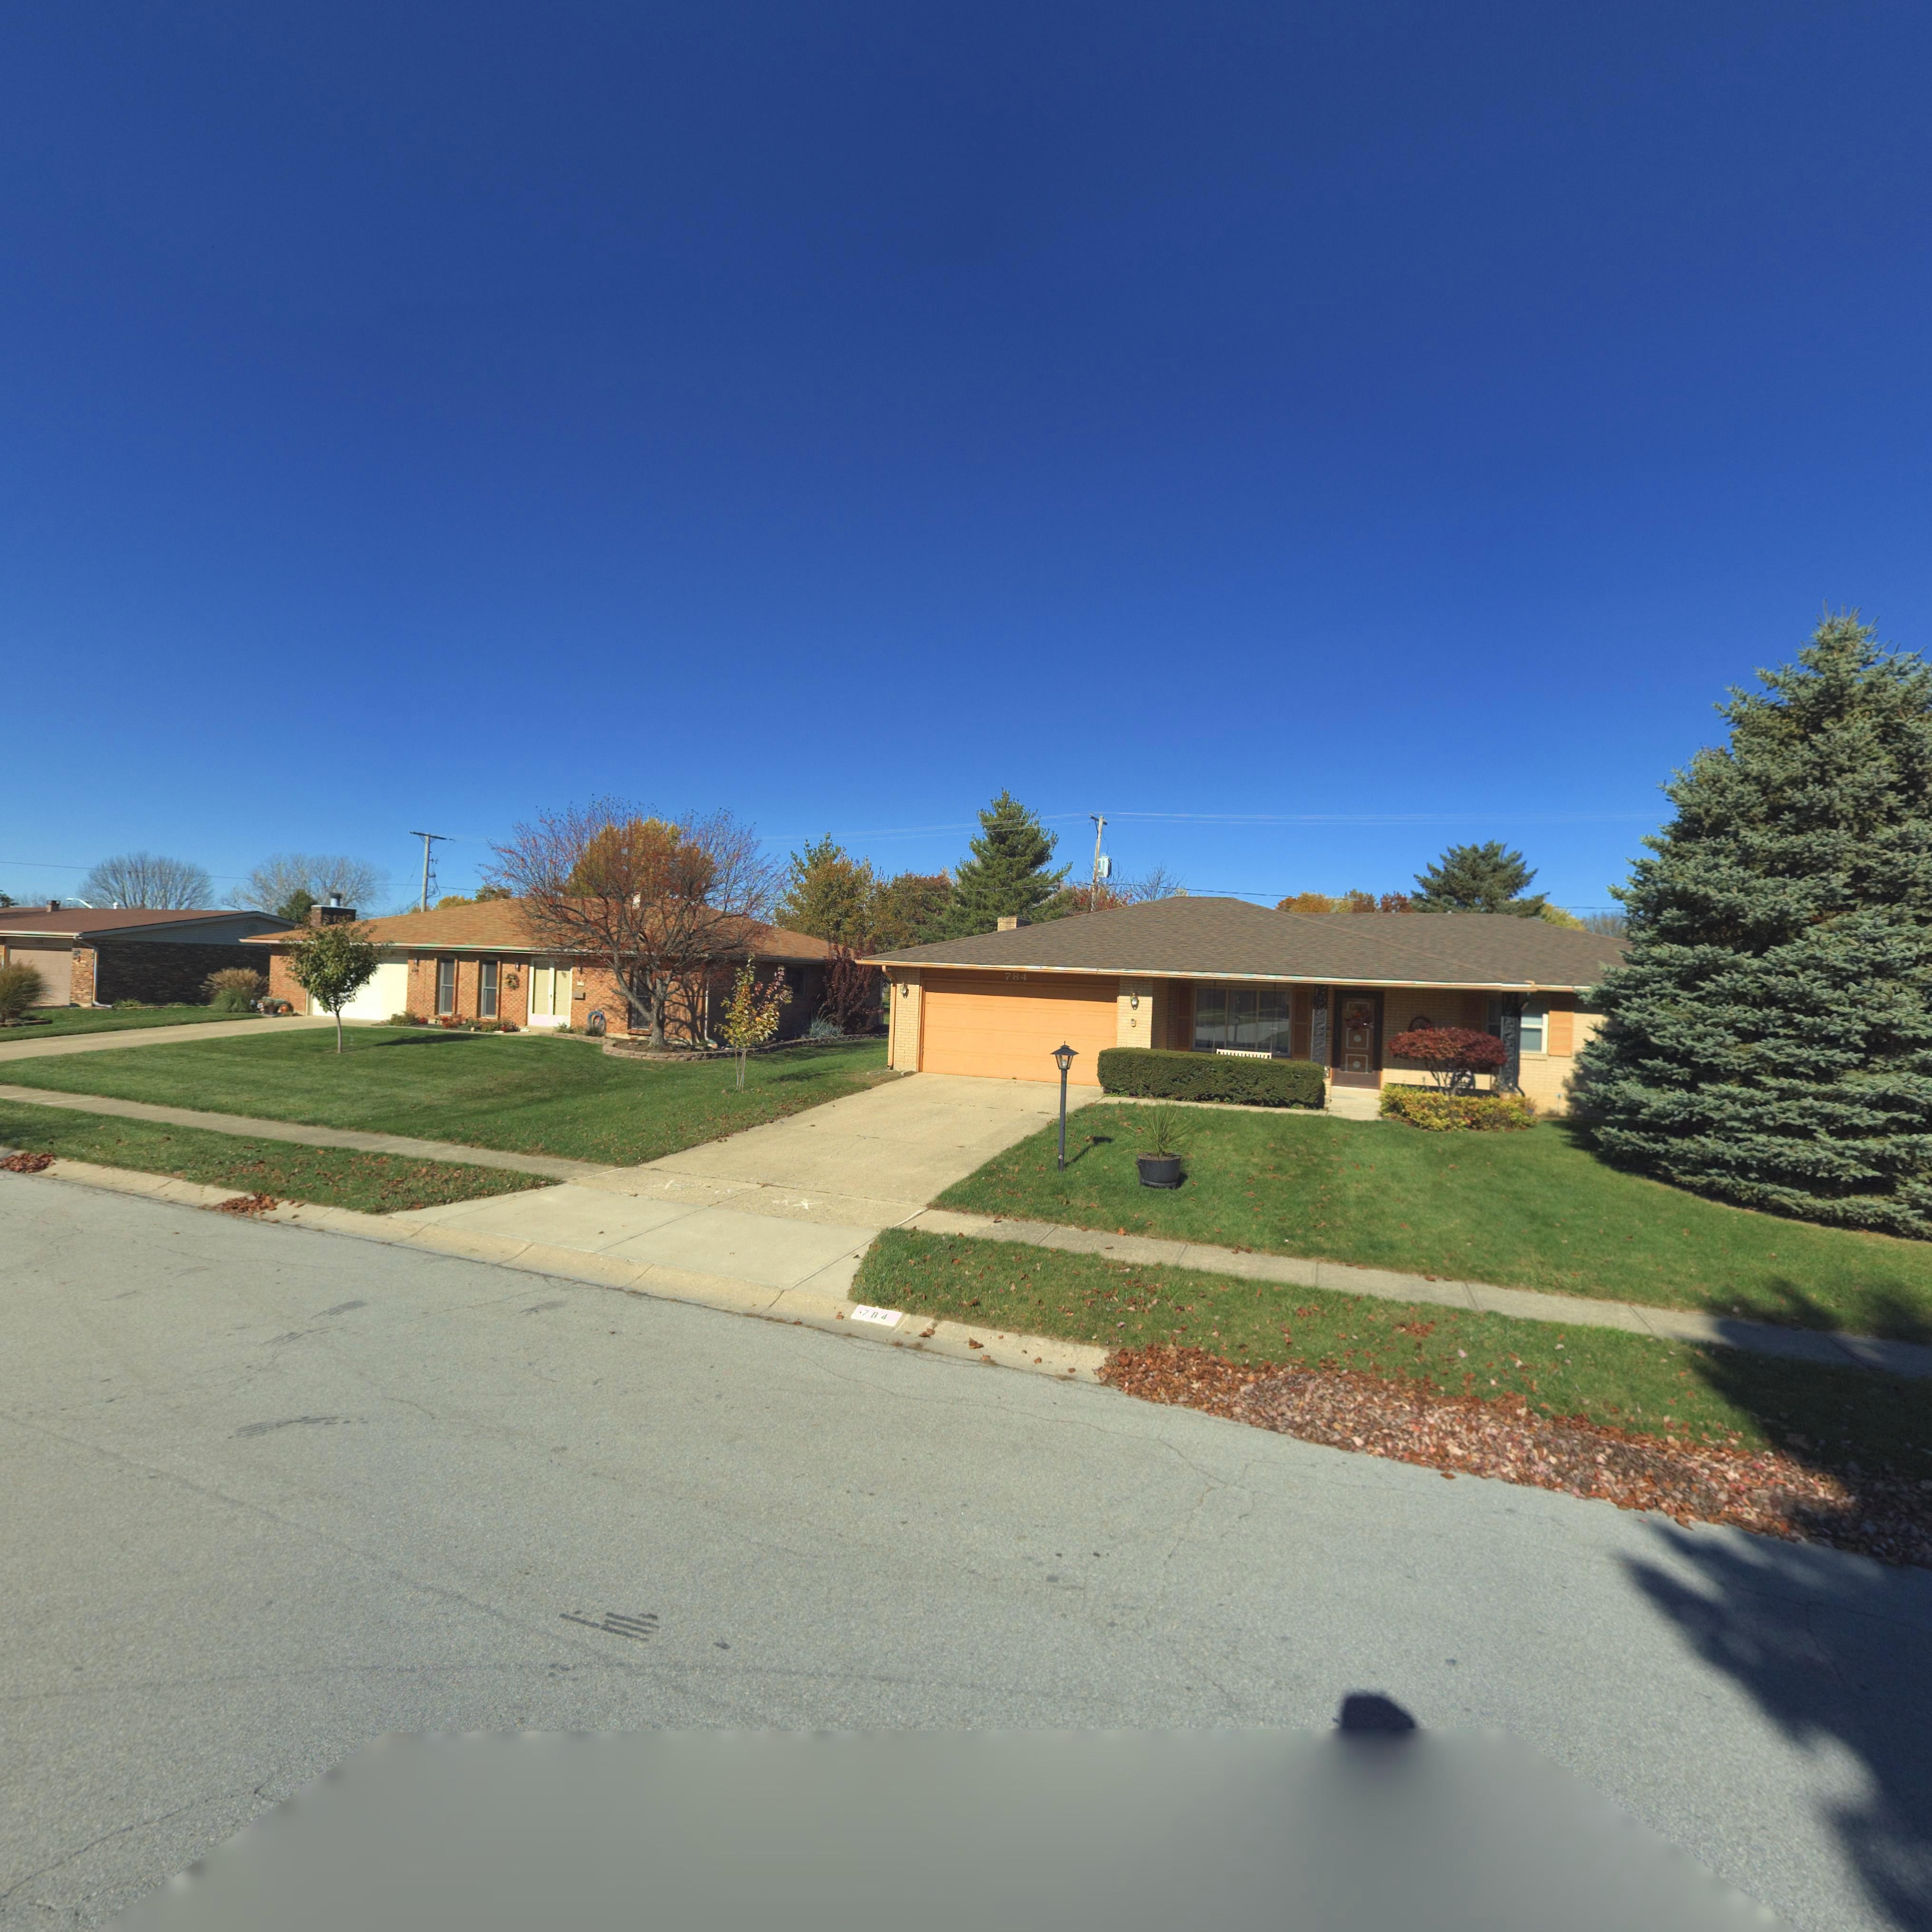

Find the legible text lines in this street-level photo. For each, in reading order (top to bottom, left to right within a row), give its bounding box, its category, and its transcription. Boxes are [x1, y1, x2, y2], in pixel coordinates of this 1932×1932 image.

[34, 939, 44, 945] StreetNumber: 7**
[1004, 972, 1028, 981] StreetNumber: 784
[861, 1309, 889, 1321] StreetNumber: 784